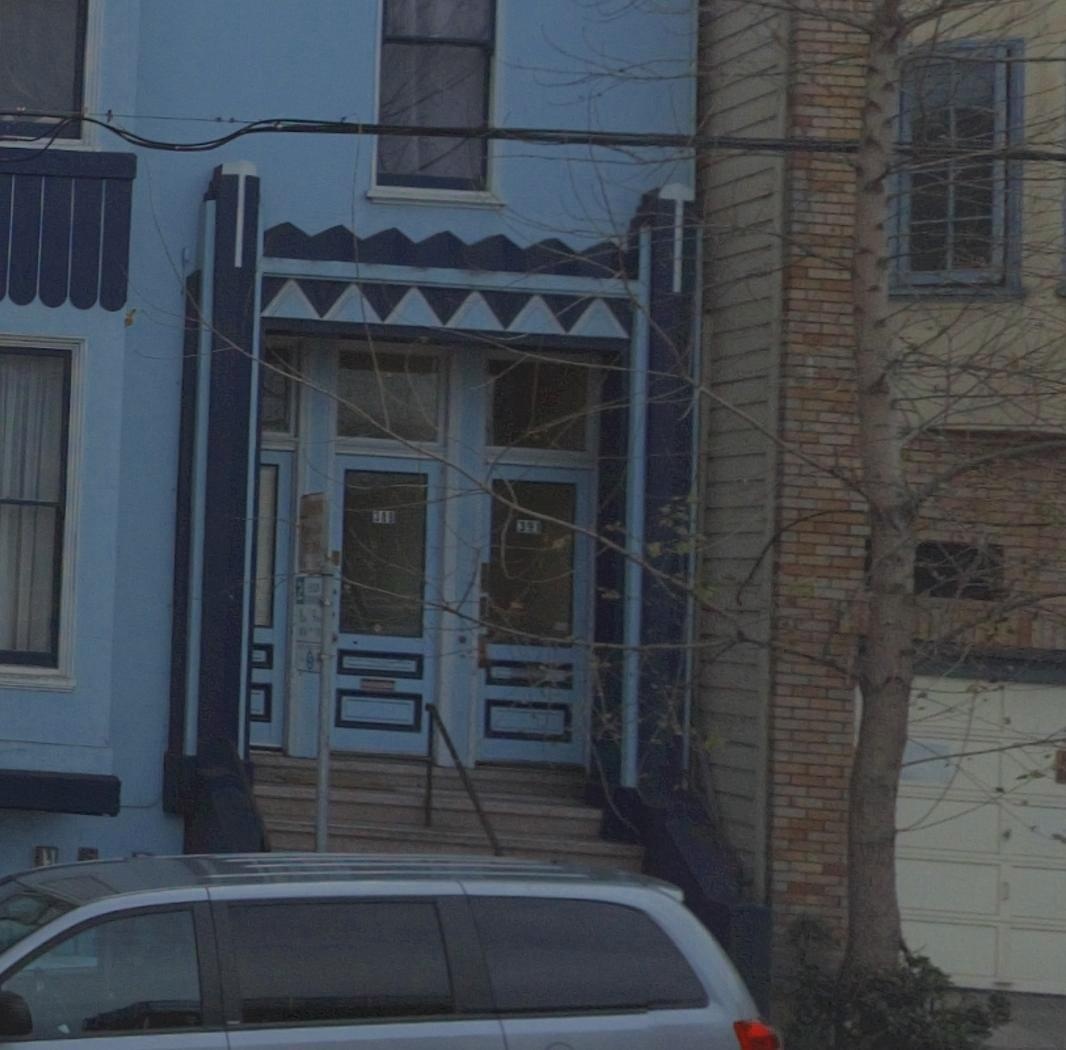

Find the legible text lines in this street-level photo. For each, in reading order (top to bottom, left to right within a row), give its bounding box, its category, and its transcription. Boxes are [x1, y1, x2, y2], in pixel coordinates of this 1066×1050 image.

[295, 580, 305, 602] None: 2